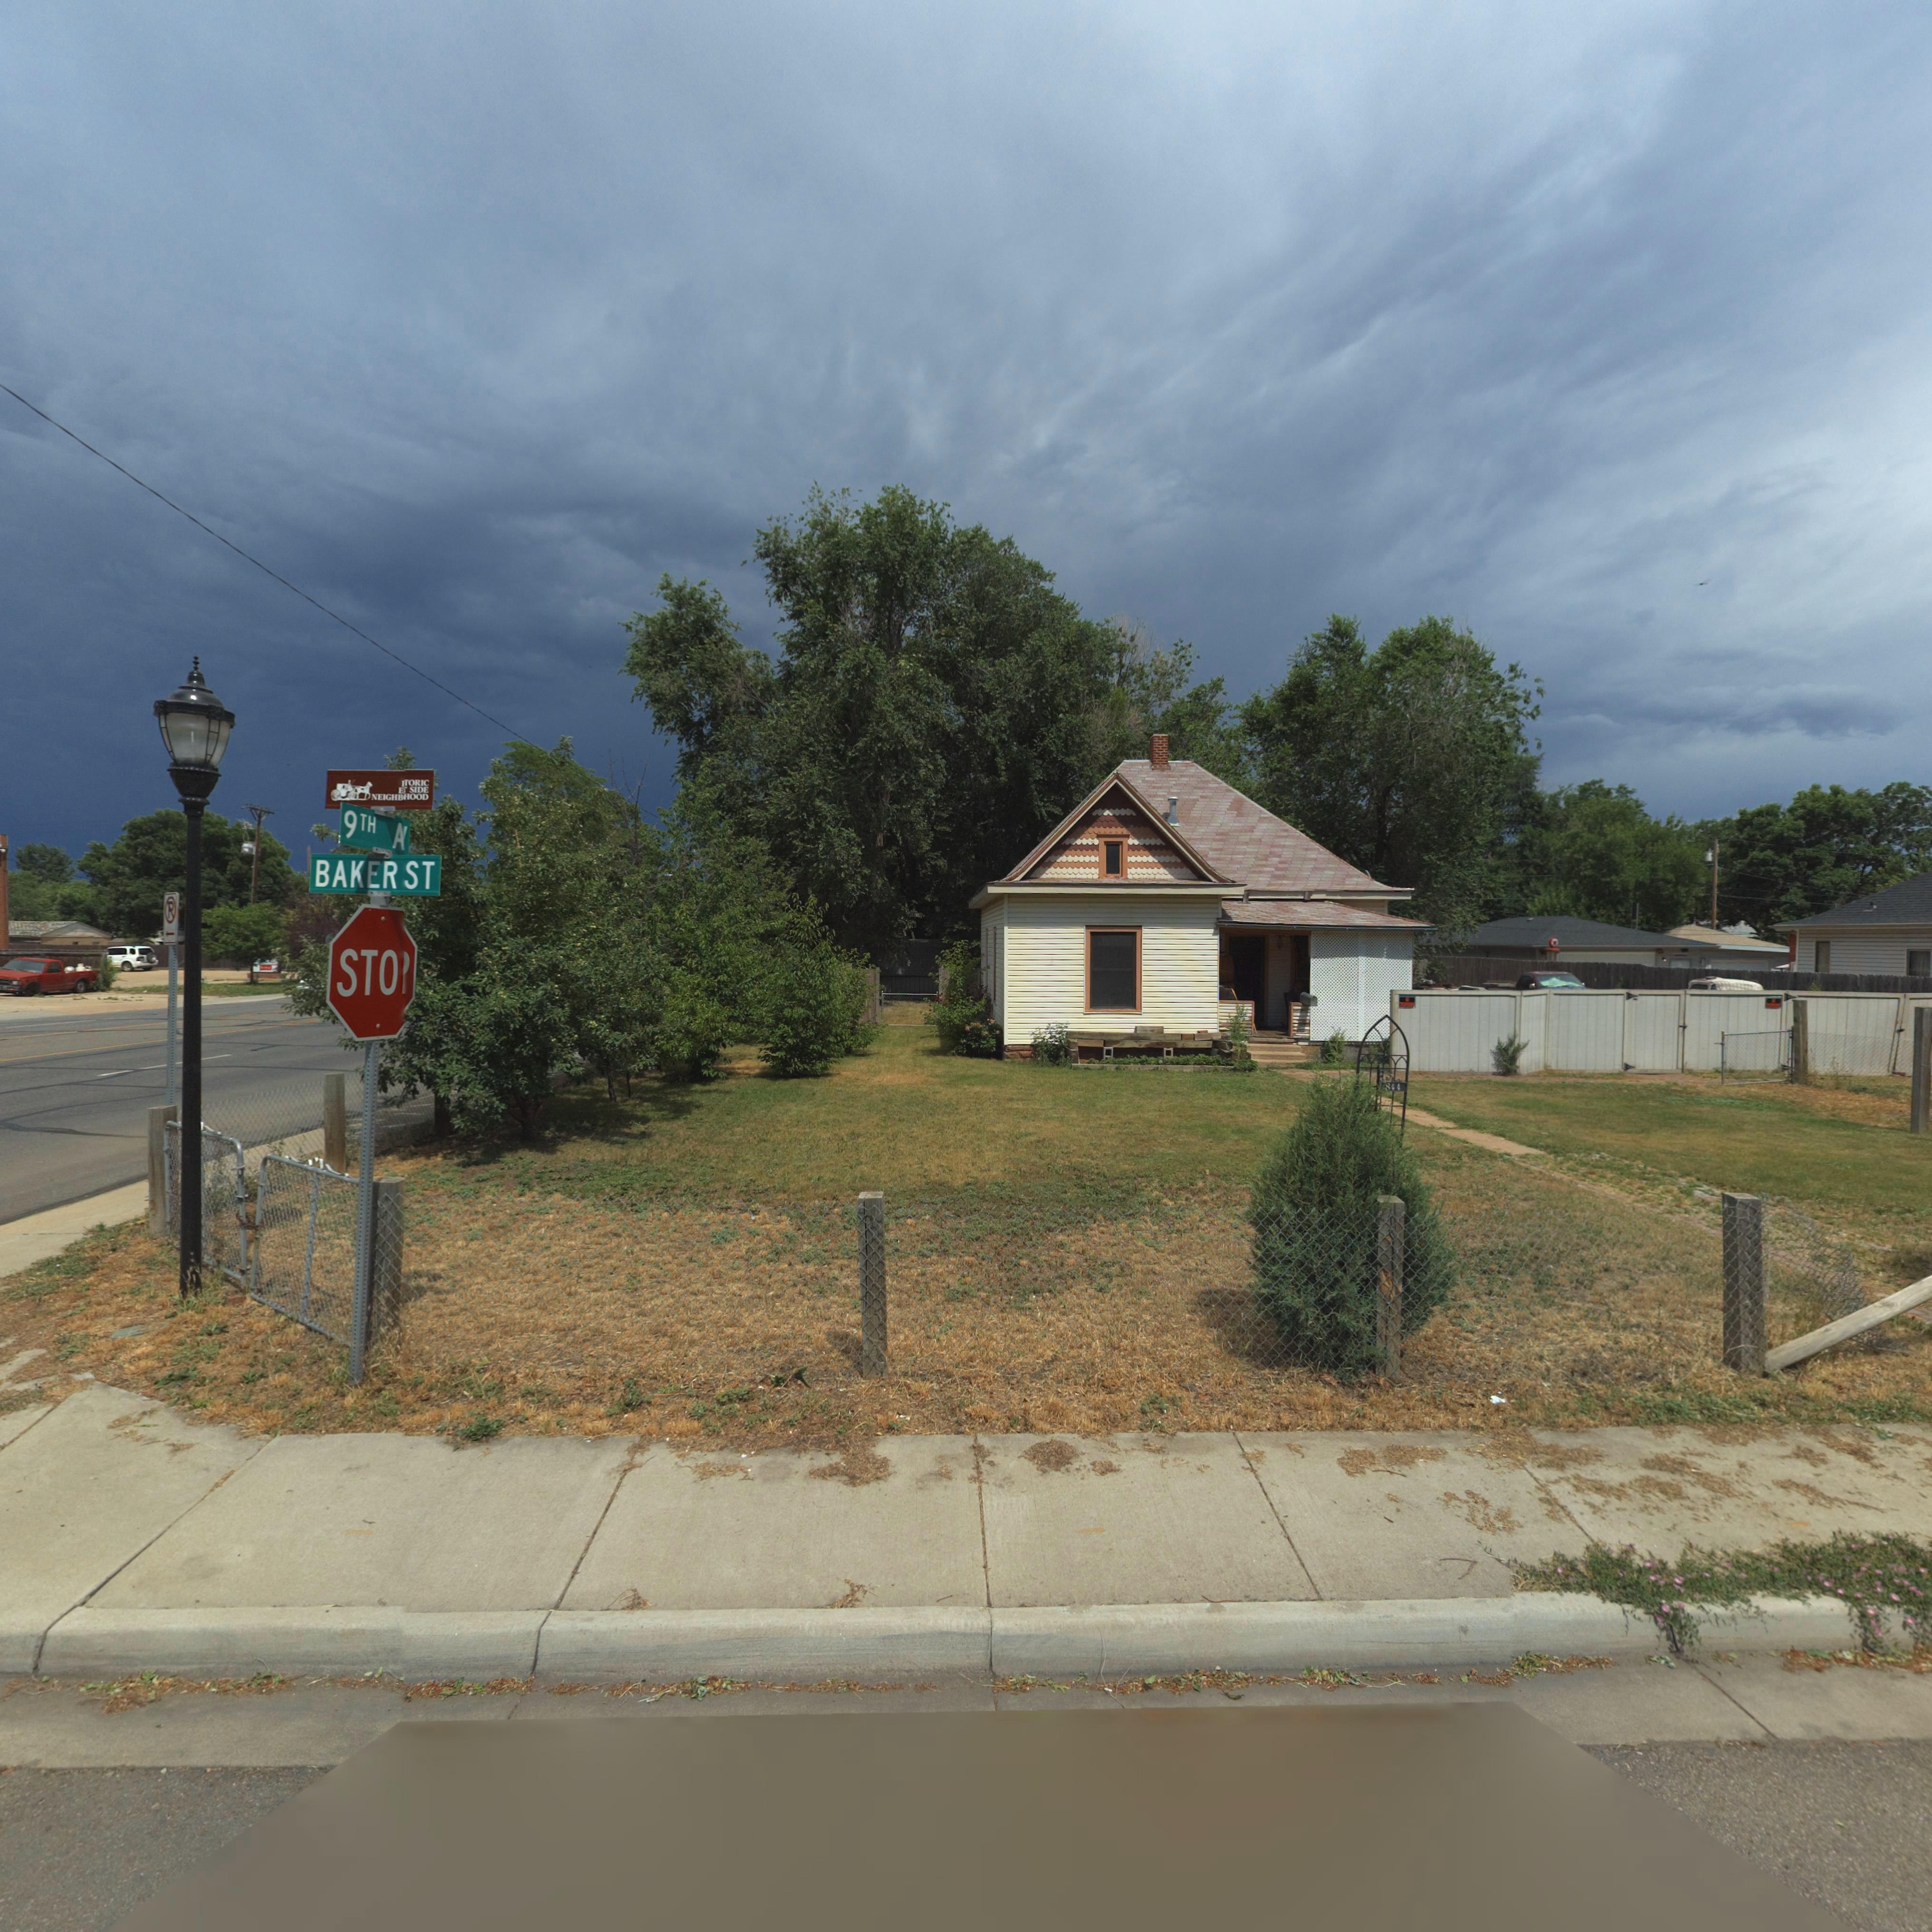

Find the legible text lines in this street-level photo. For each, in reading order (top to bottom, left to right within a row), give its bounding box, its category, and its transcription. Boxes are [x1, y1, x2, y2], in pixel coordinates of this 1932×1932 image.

[343, 809, 408, 851] BusinessName: 9TH A*
[315, 859, 435, 890] StreetName: BAKER ST